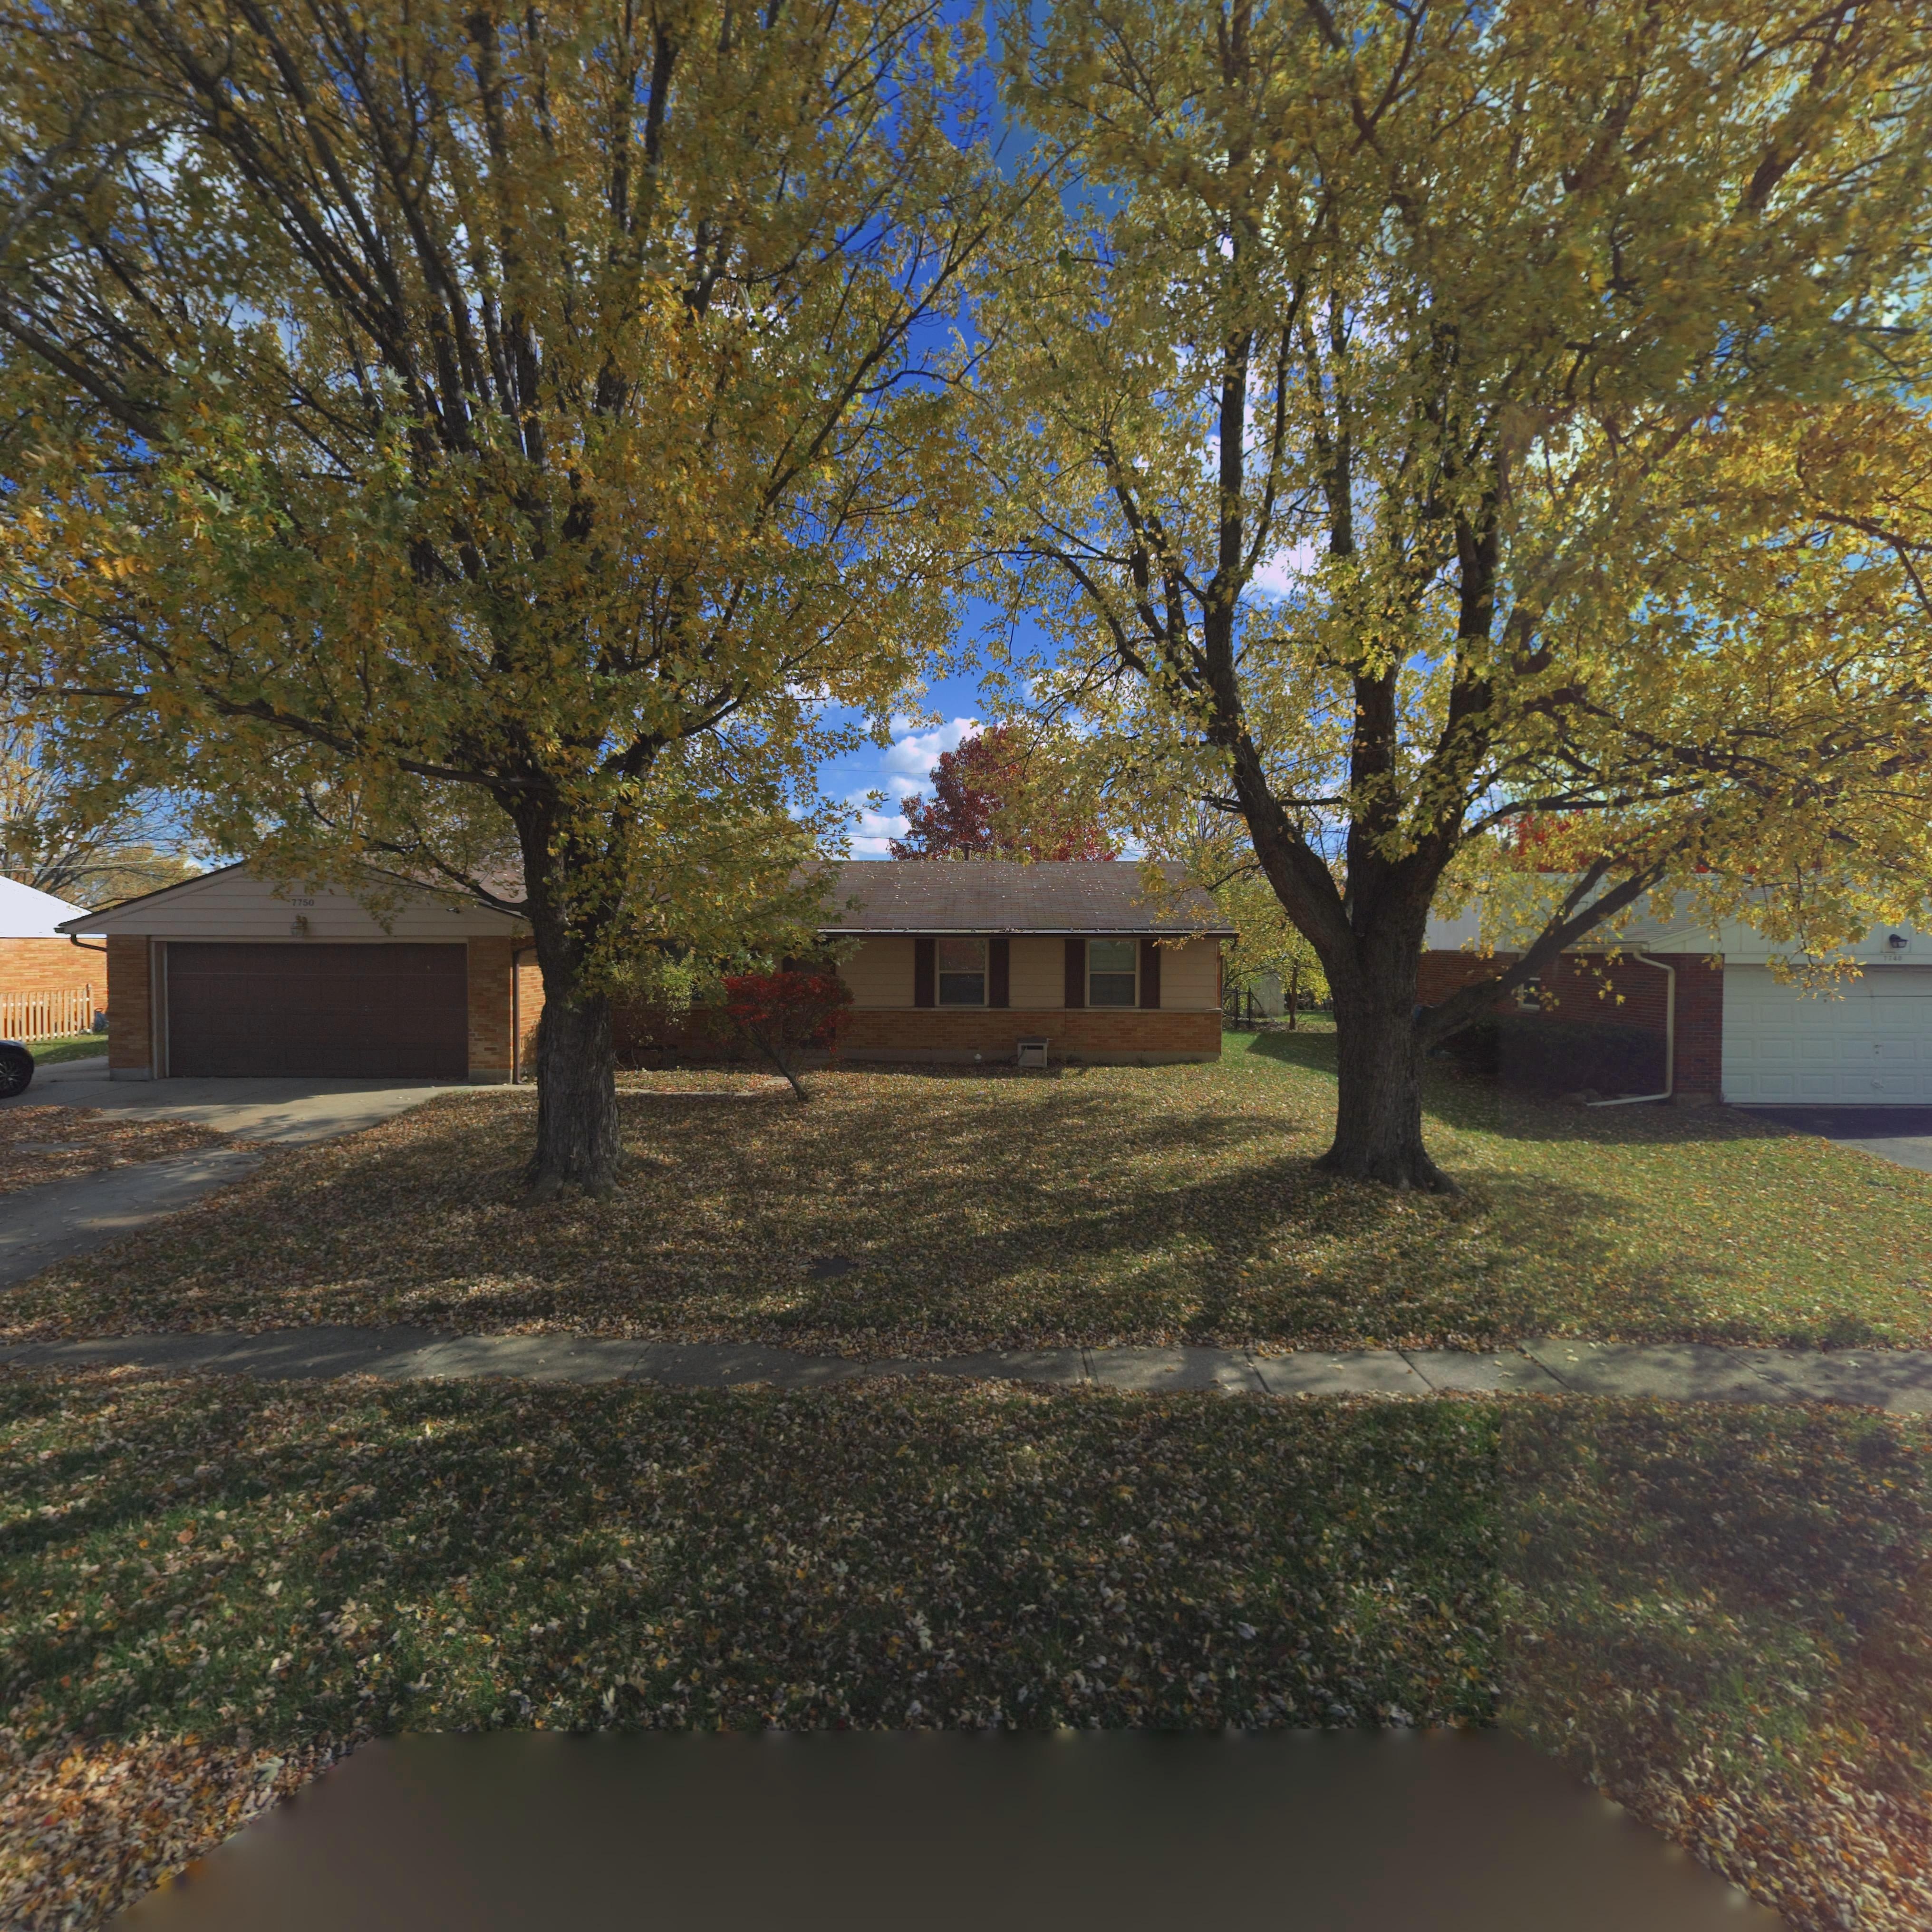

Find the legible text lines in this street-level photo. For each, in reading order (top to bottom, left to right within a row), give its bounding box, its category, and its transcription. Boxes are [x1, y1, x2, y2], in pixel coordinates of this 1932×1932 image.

[290, 898, 315, 907] StreetNumber: 7750
[1883, 955, 1902, 961] StreetNumber: 7740